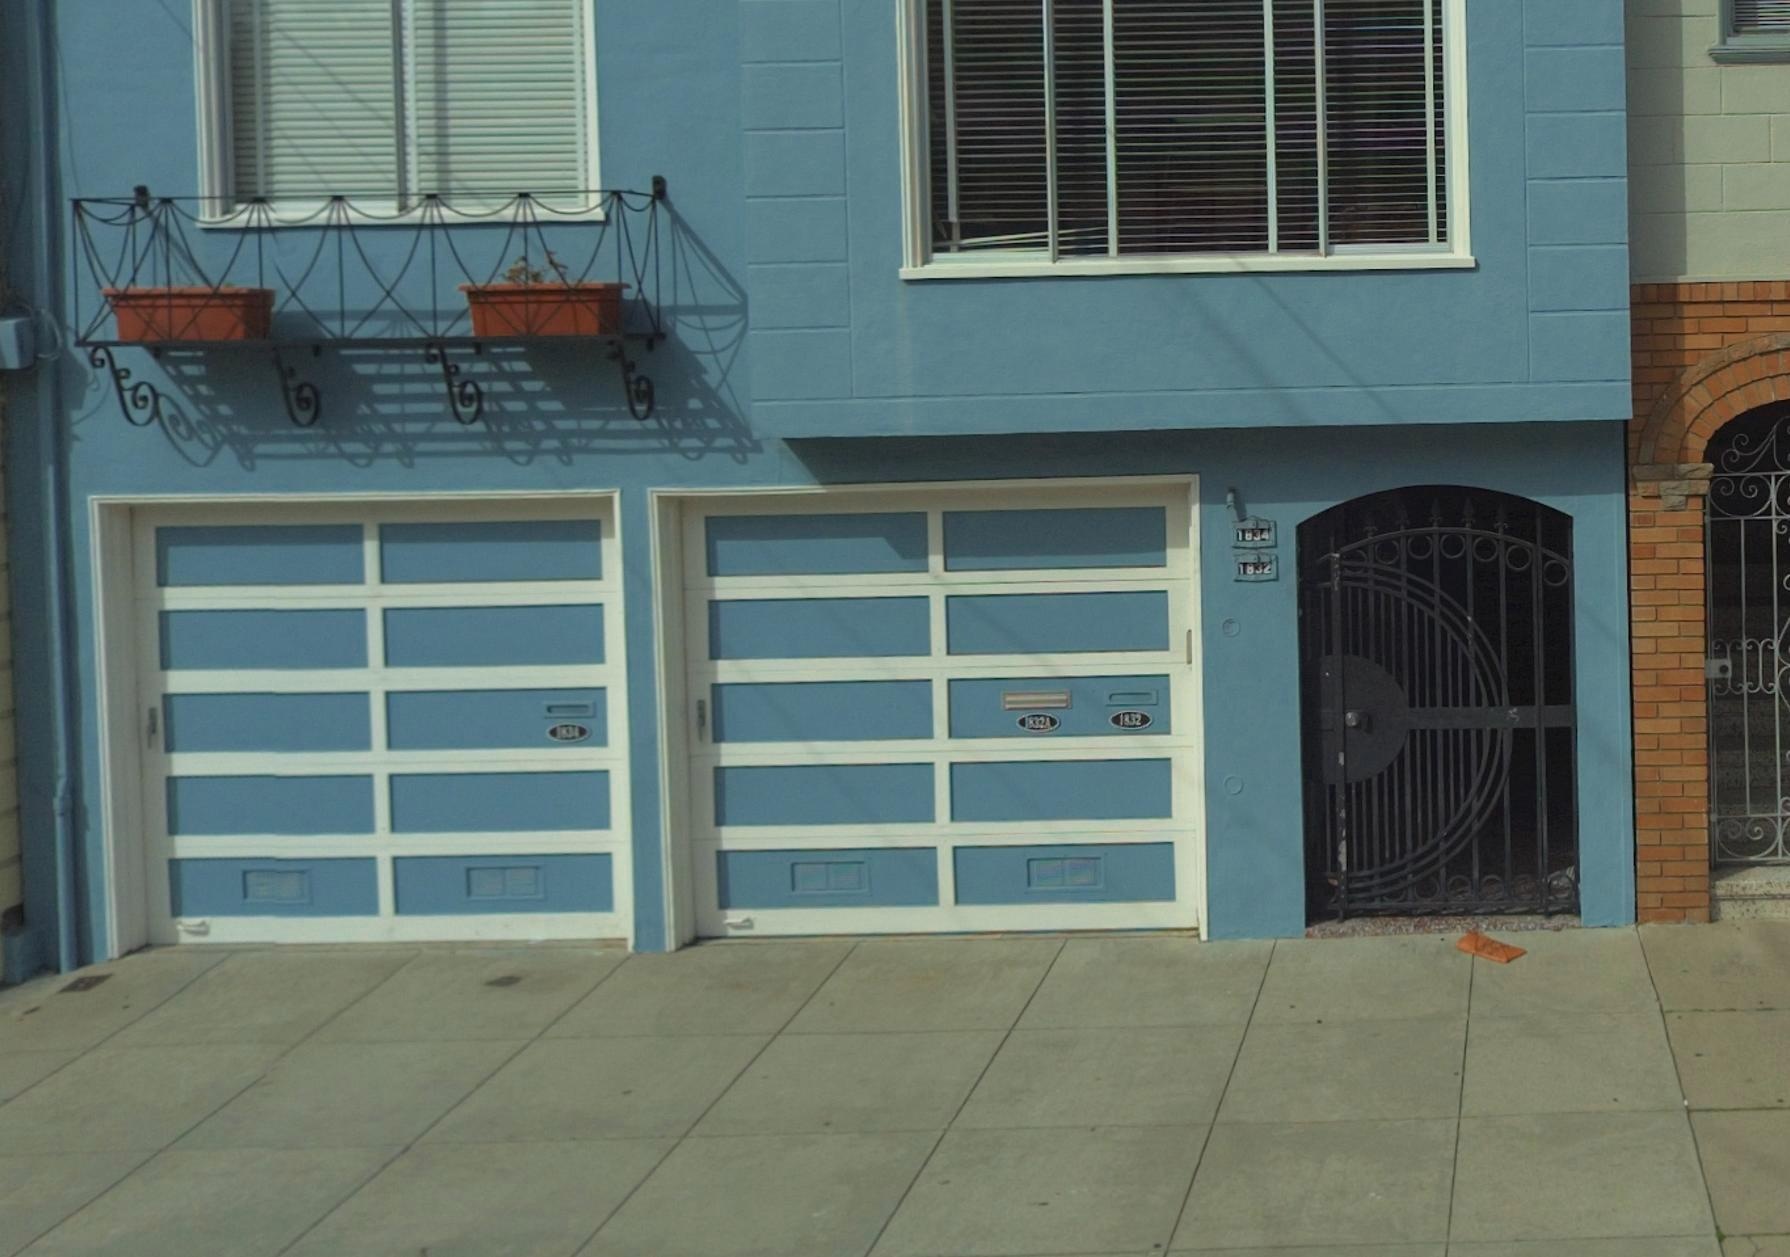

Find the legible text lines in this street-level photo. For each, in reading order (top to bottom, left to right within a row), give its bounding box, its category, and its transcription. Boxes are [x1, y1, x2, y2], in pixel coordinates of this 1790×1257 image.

[1236, 527, 1271, 543] StreetNumber: 1834
[1237, 561, 1273, 576] StreetNumber: 1832
[1023, 714, 1053, 731] StreetNumber: 1832a
[1118, 711, 1143, 728] StreetNumber: 1832
[553, 724, 582, 741] StreetNumber: 1834